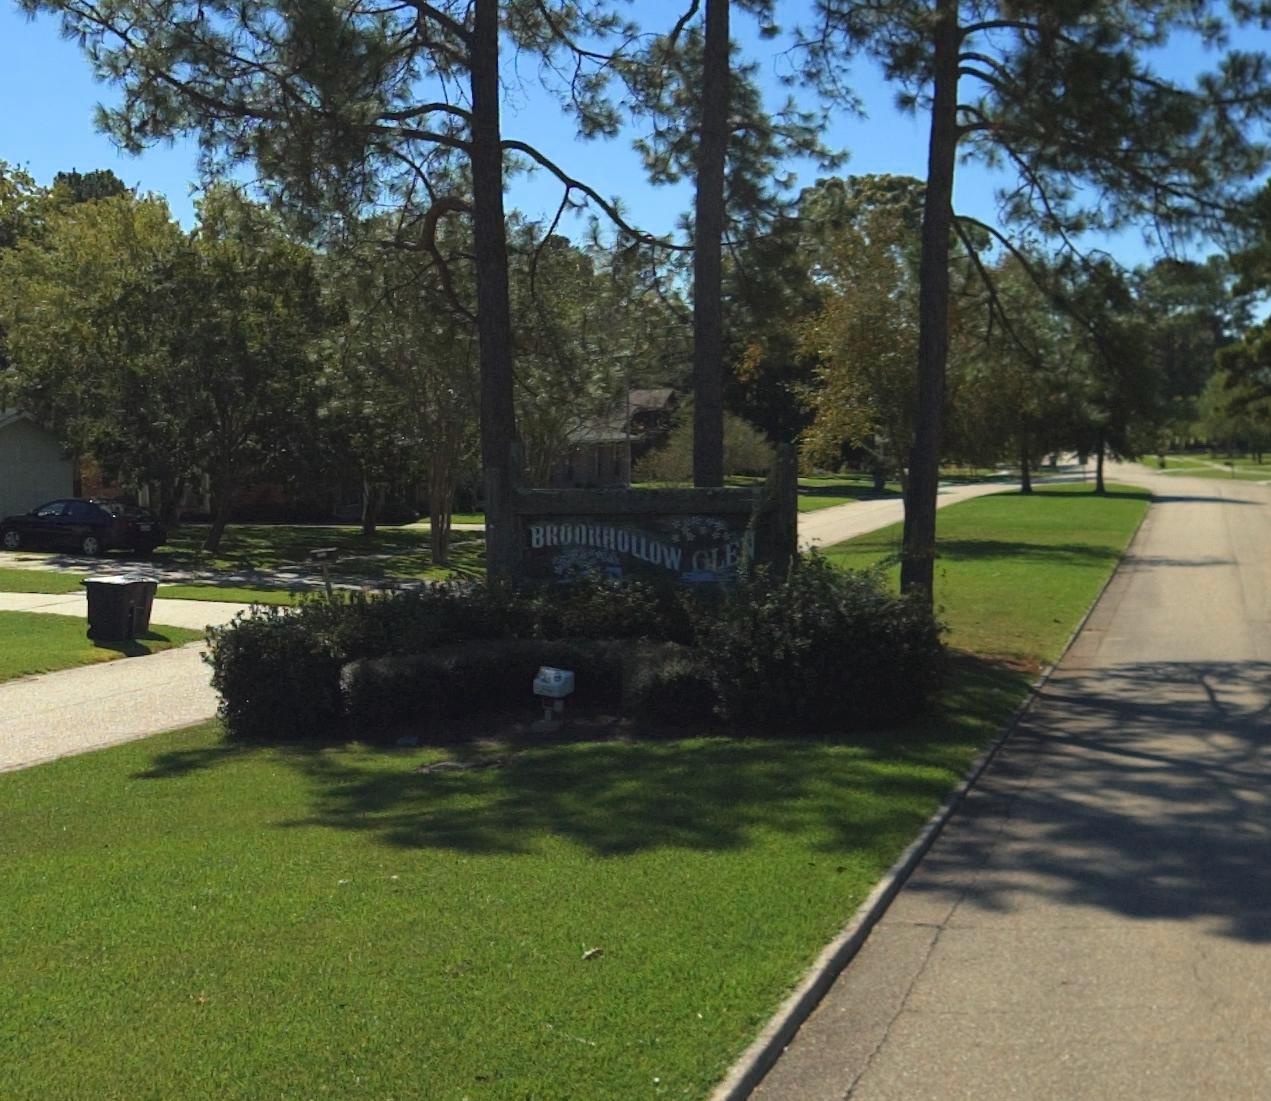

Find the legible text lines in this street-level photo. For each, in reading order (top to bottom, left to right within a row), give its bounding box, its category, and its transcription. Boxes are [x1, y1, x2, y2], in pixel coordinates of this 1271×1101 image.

[528, 522, 756, 575] BusinessName: BROOKHOLLOW *LE*